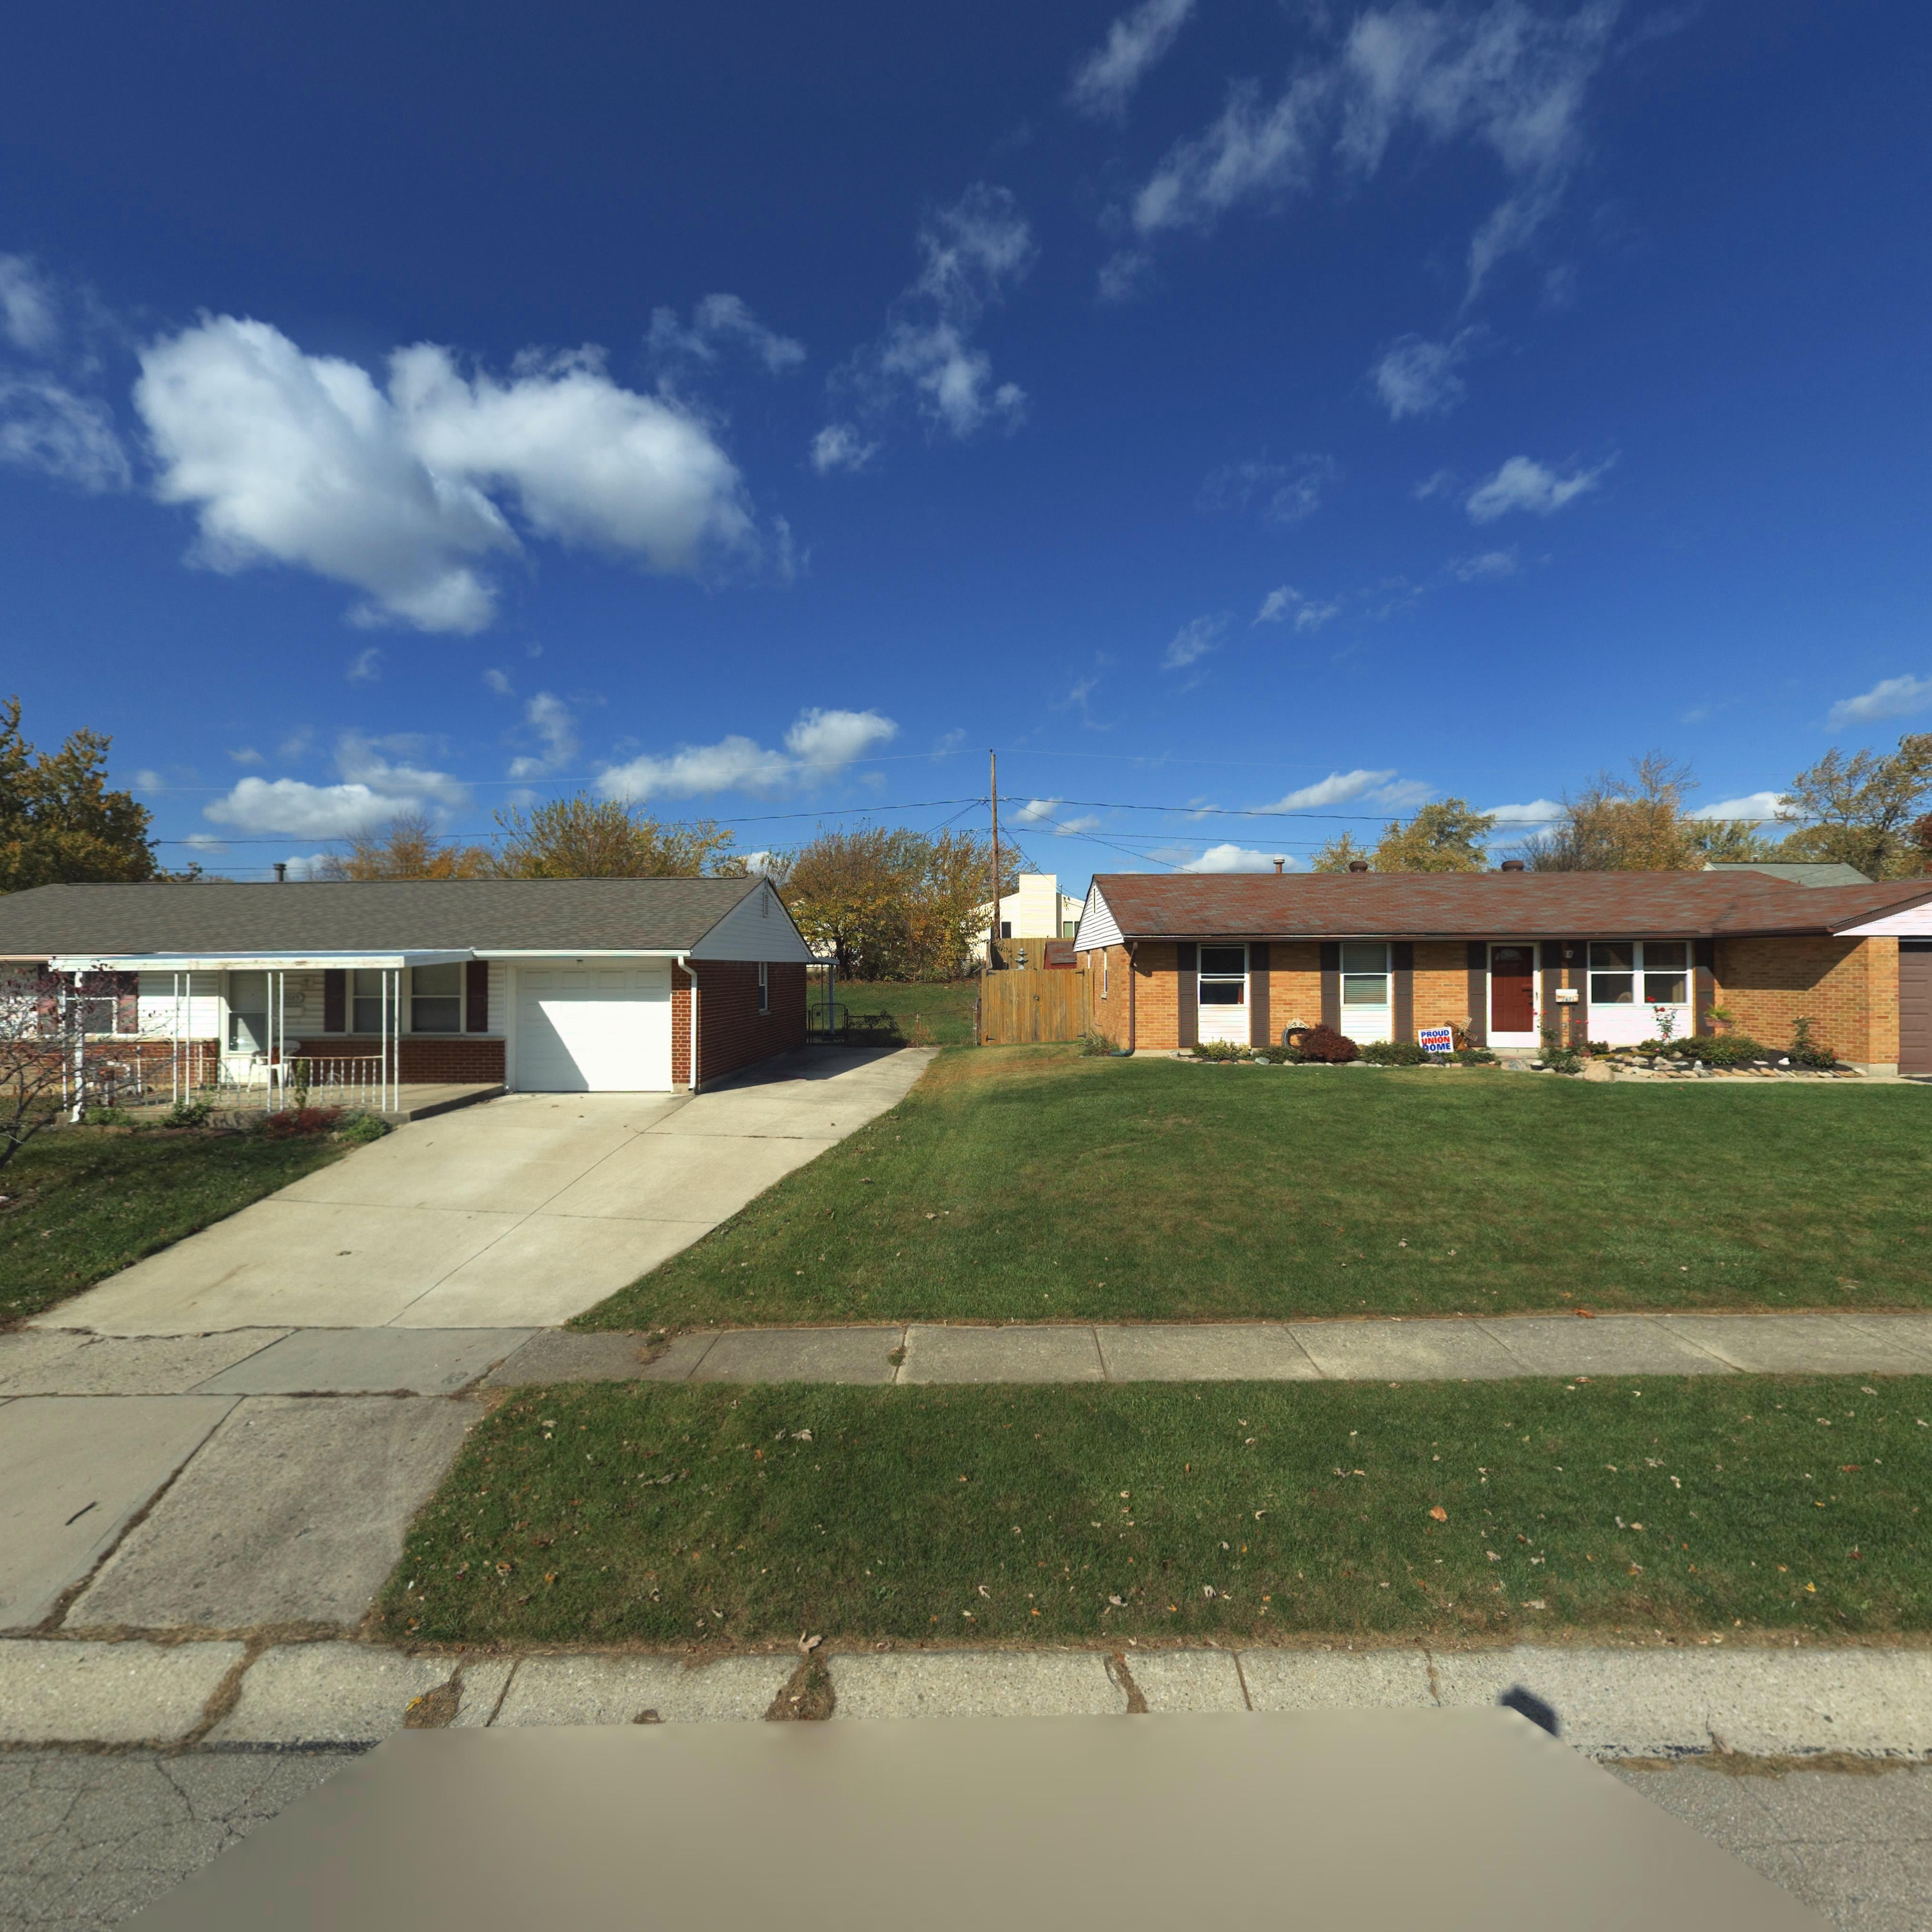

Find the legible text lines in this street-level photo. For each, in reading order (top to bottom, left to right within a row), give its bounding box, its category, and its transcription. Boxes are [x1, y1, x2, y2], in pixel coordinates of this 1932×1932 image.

[282, 994, 300, 1002] StreetNumber: 766*
[1561, 997, 1575, 1002] StreetNumber: 7671